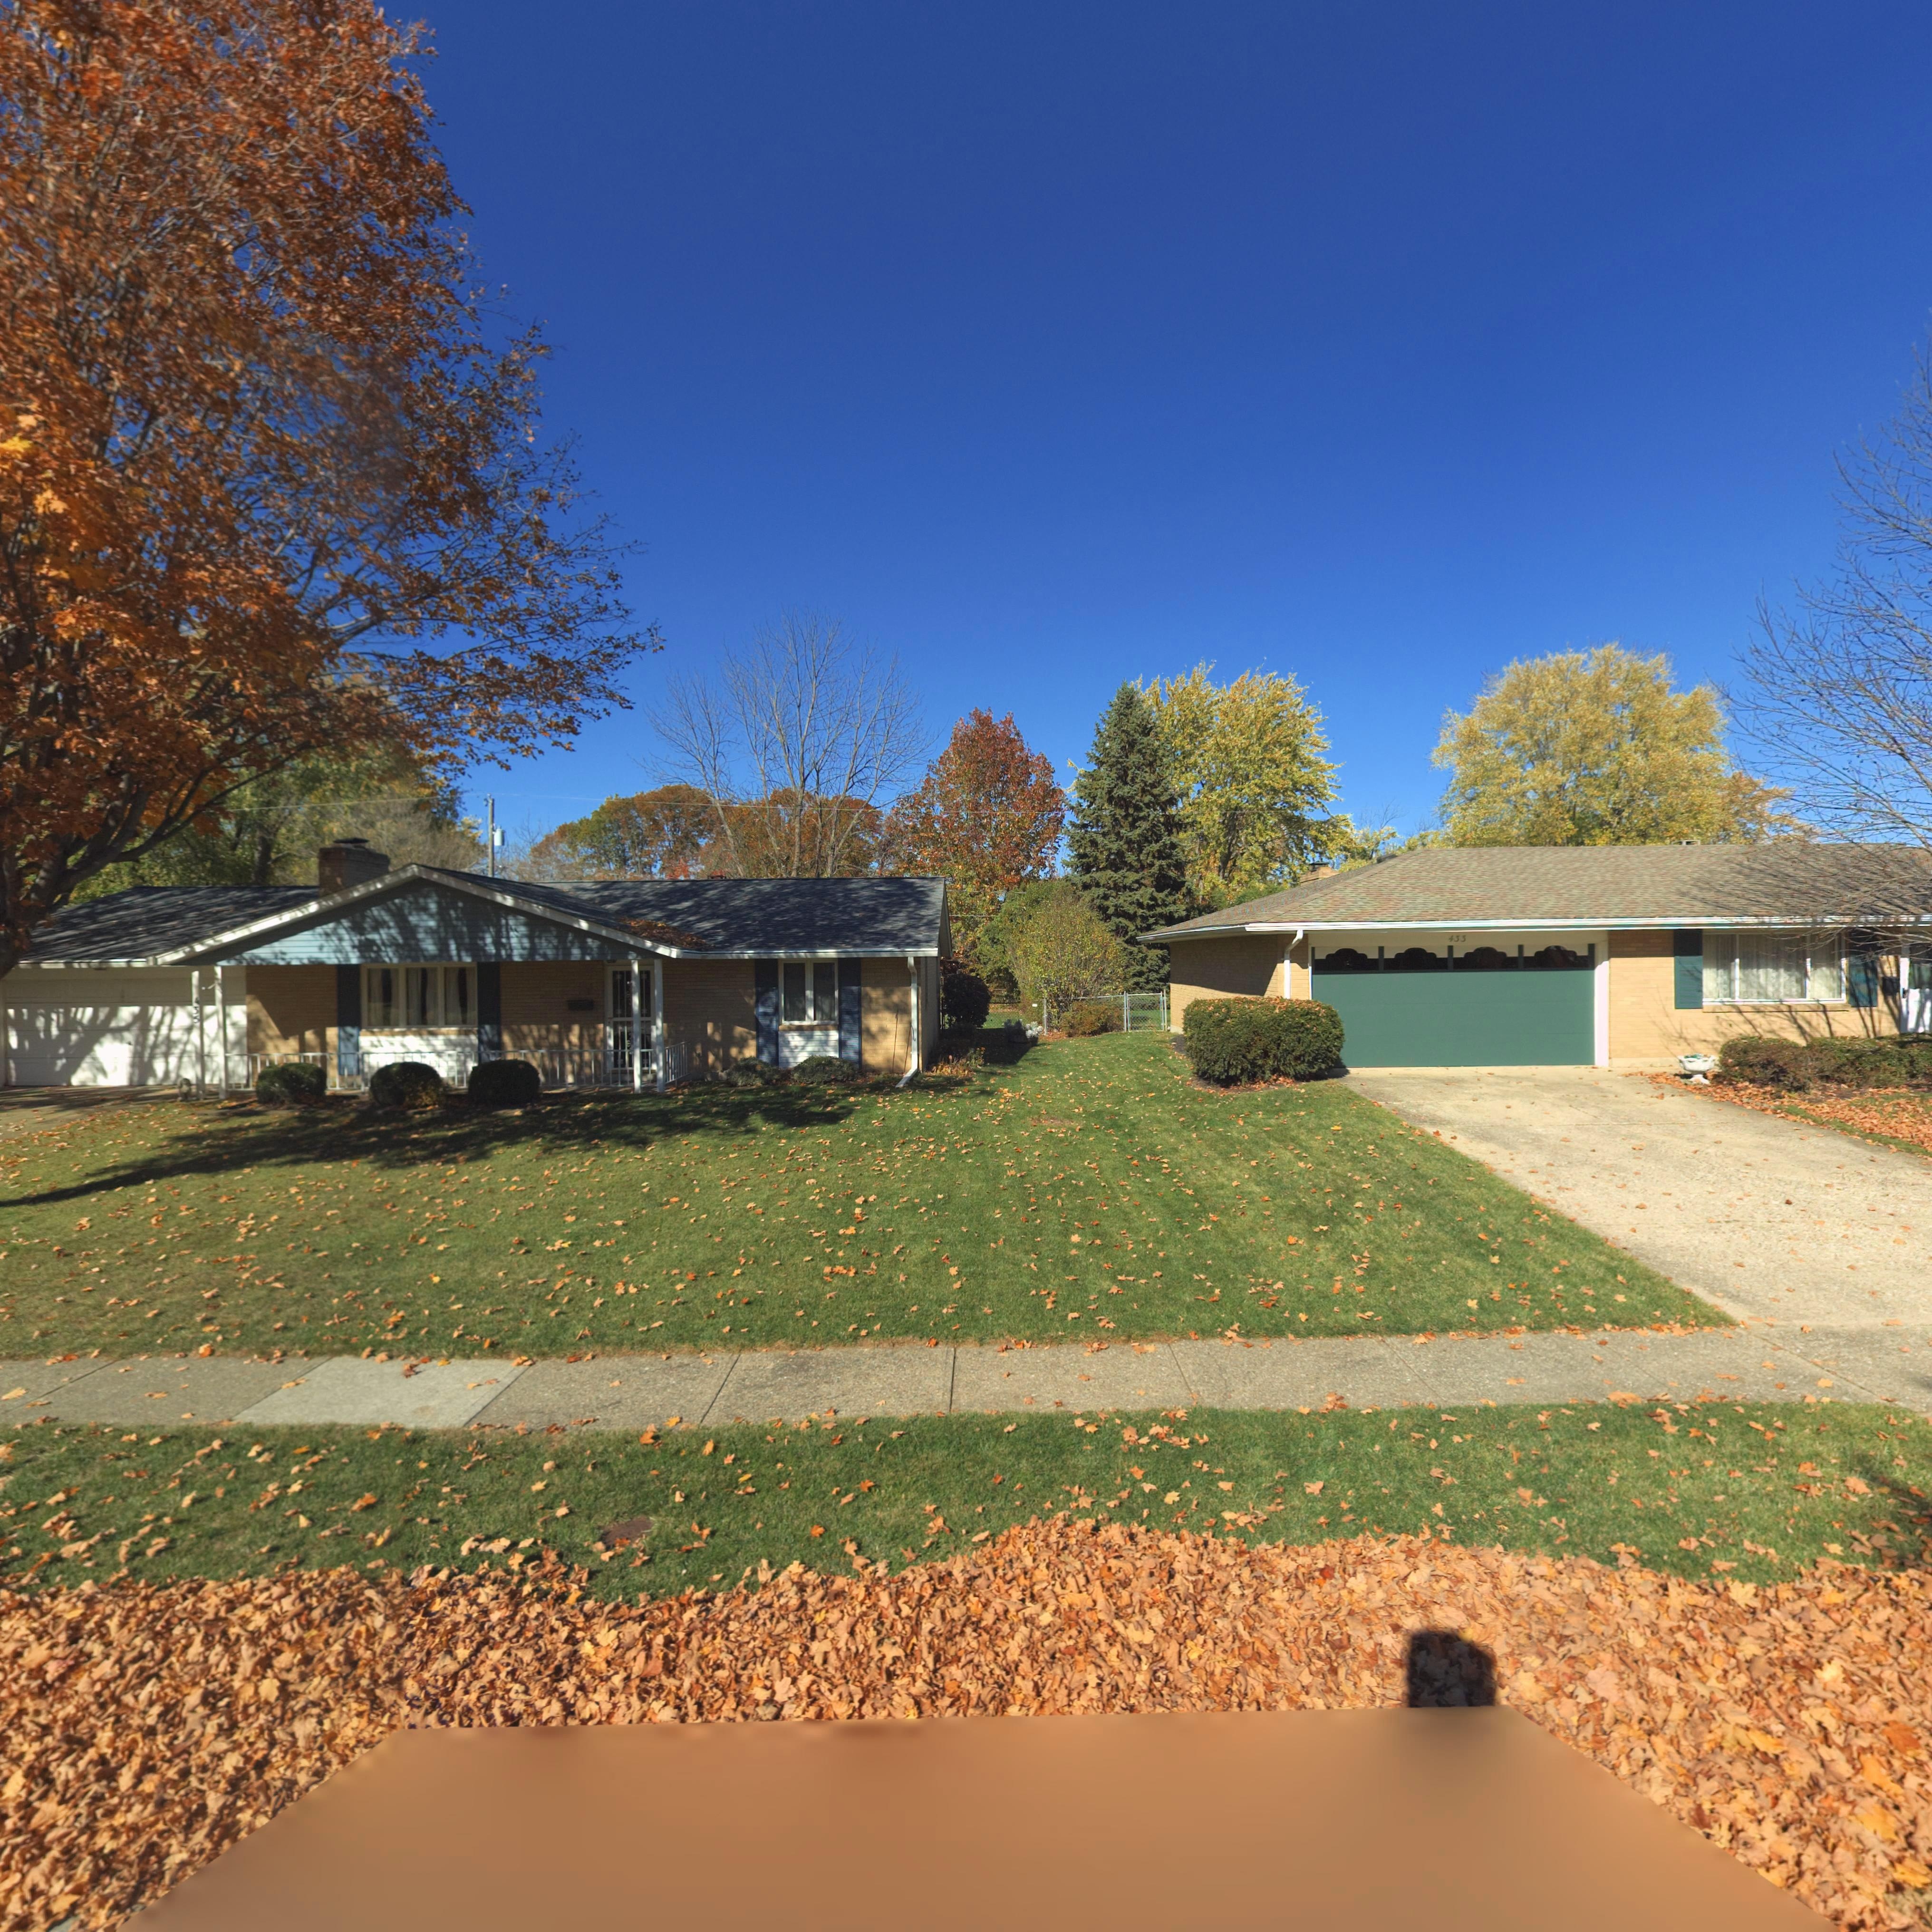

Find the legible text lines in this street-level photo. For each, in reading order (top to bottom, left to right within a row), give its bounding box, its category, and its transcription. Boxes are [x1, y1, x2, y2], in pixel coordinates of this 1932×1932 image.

[1448, 934, 1468, 943] StreetNumber: 433
[192, 995, 202, 1025] StreetNumber: 435